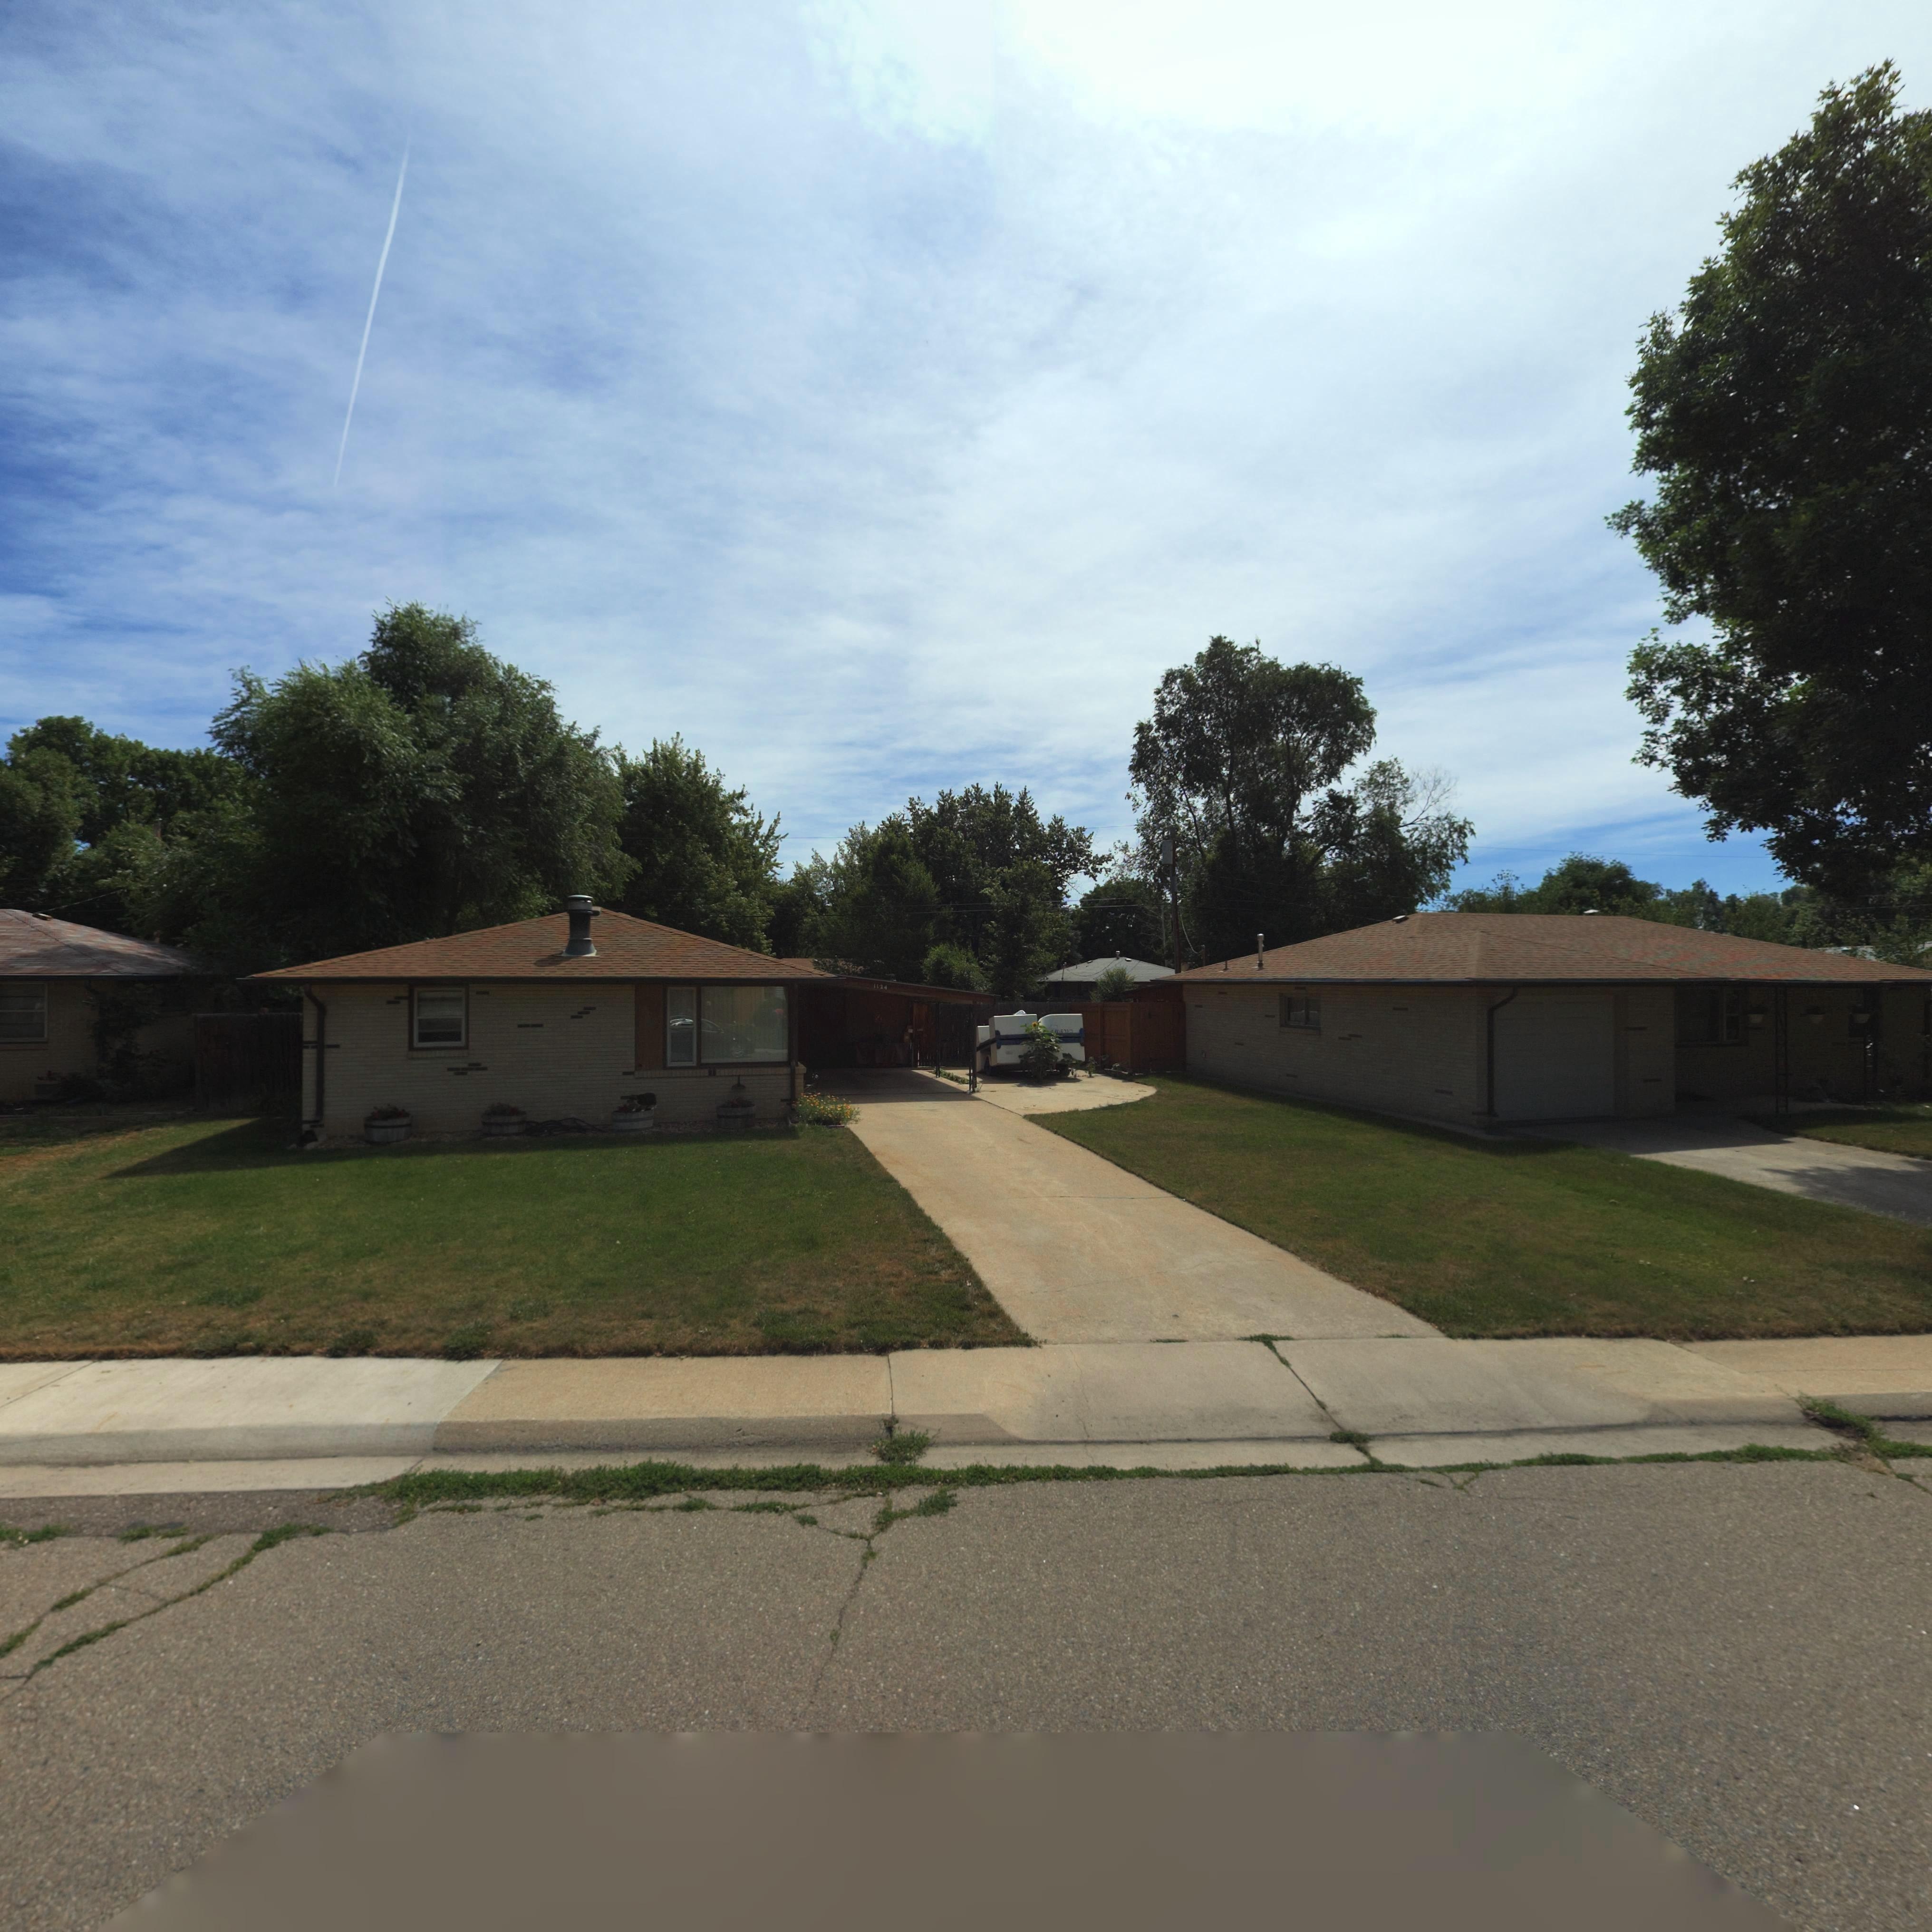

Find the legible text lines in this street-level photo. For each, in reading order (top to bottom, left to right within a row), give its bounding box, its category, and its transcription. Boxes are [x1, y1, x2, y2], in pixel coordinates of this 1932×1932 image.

[873, 983, 888, 990] StreetNumber: 1124